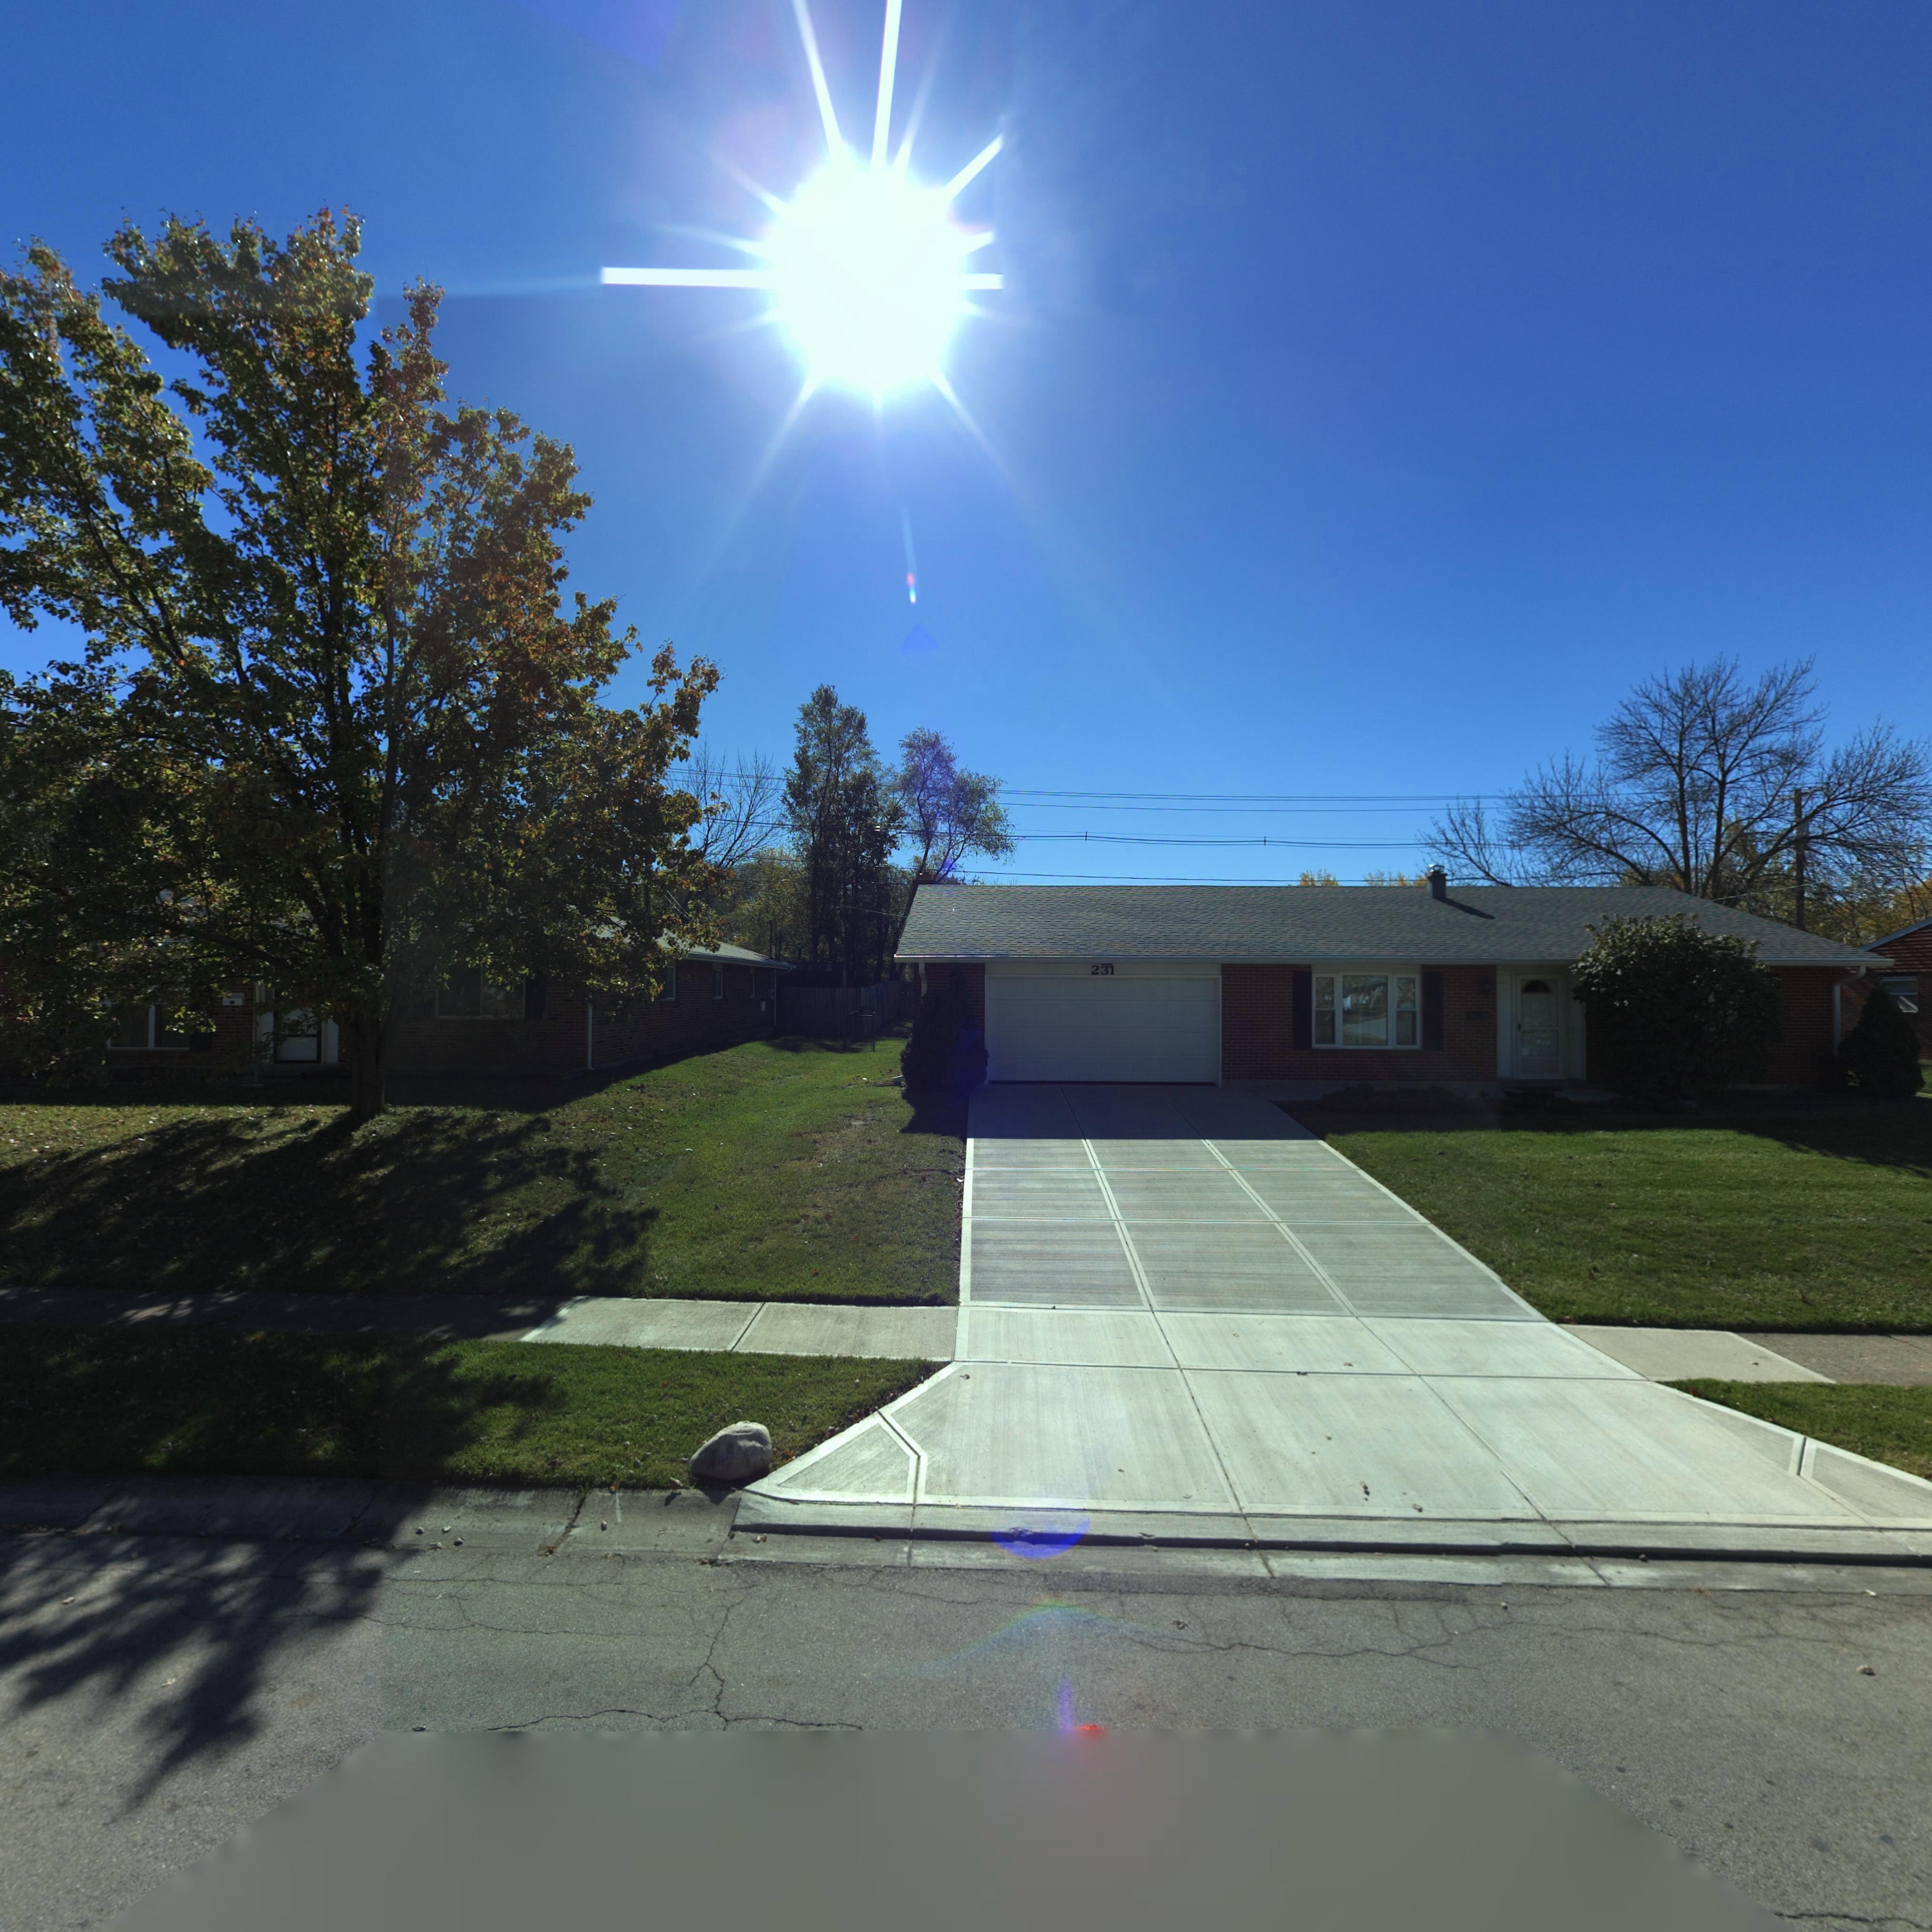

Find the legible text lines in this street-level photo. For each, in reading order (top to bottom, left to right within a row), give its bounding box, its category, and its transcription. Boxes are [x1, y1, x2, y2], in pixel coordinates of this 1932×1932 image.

[1090, 965, 1114, 975] StreetNumber: 231